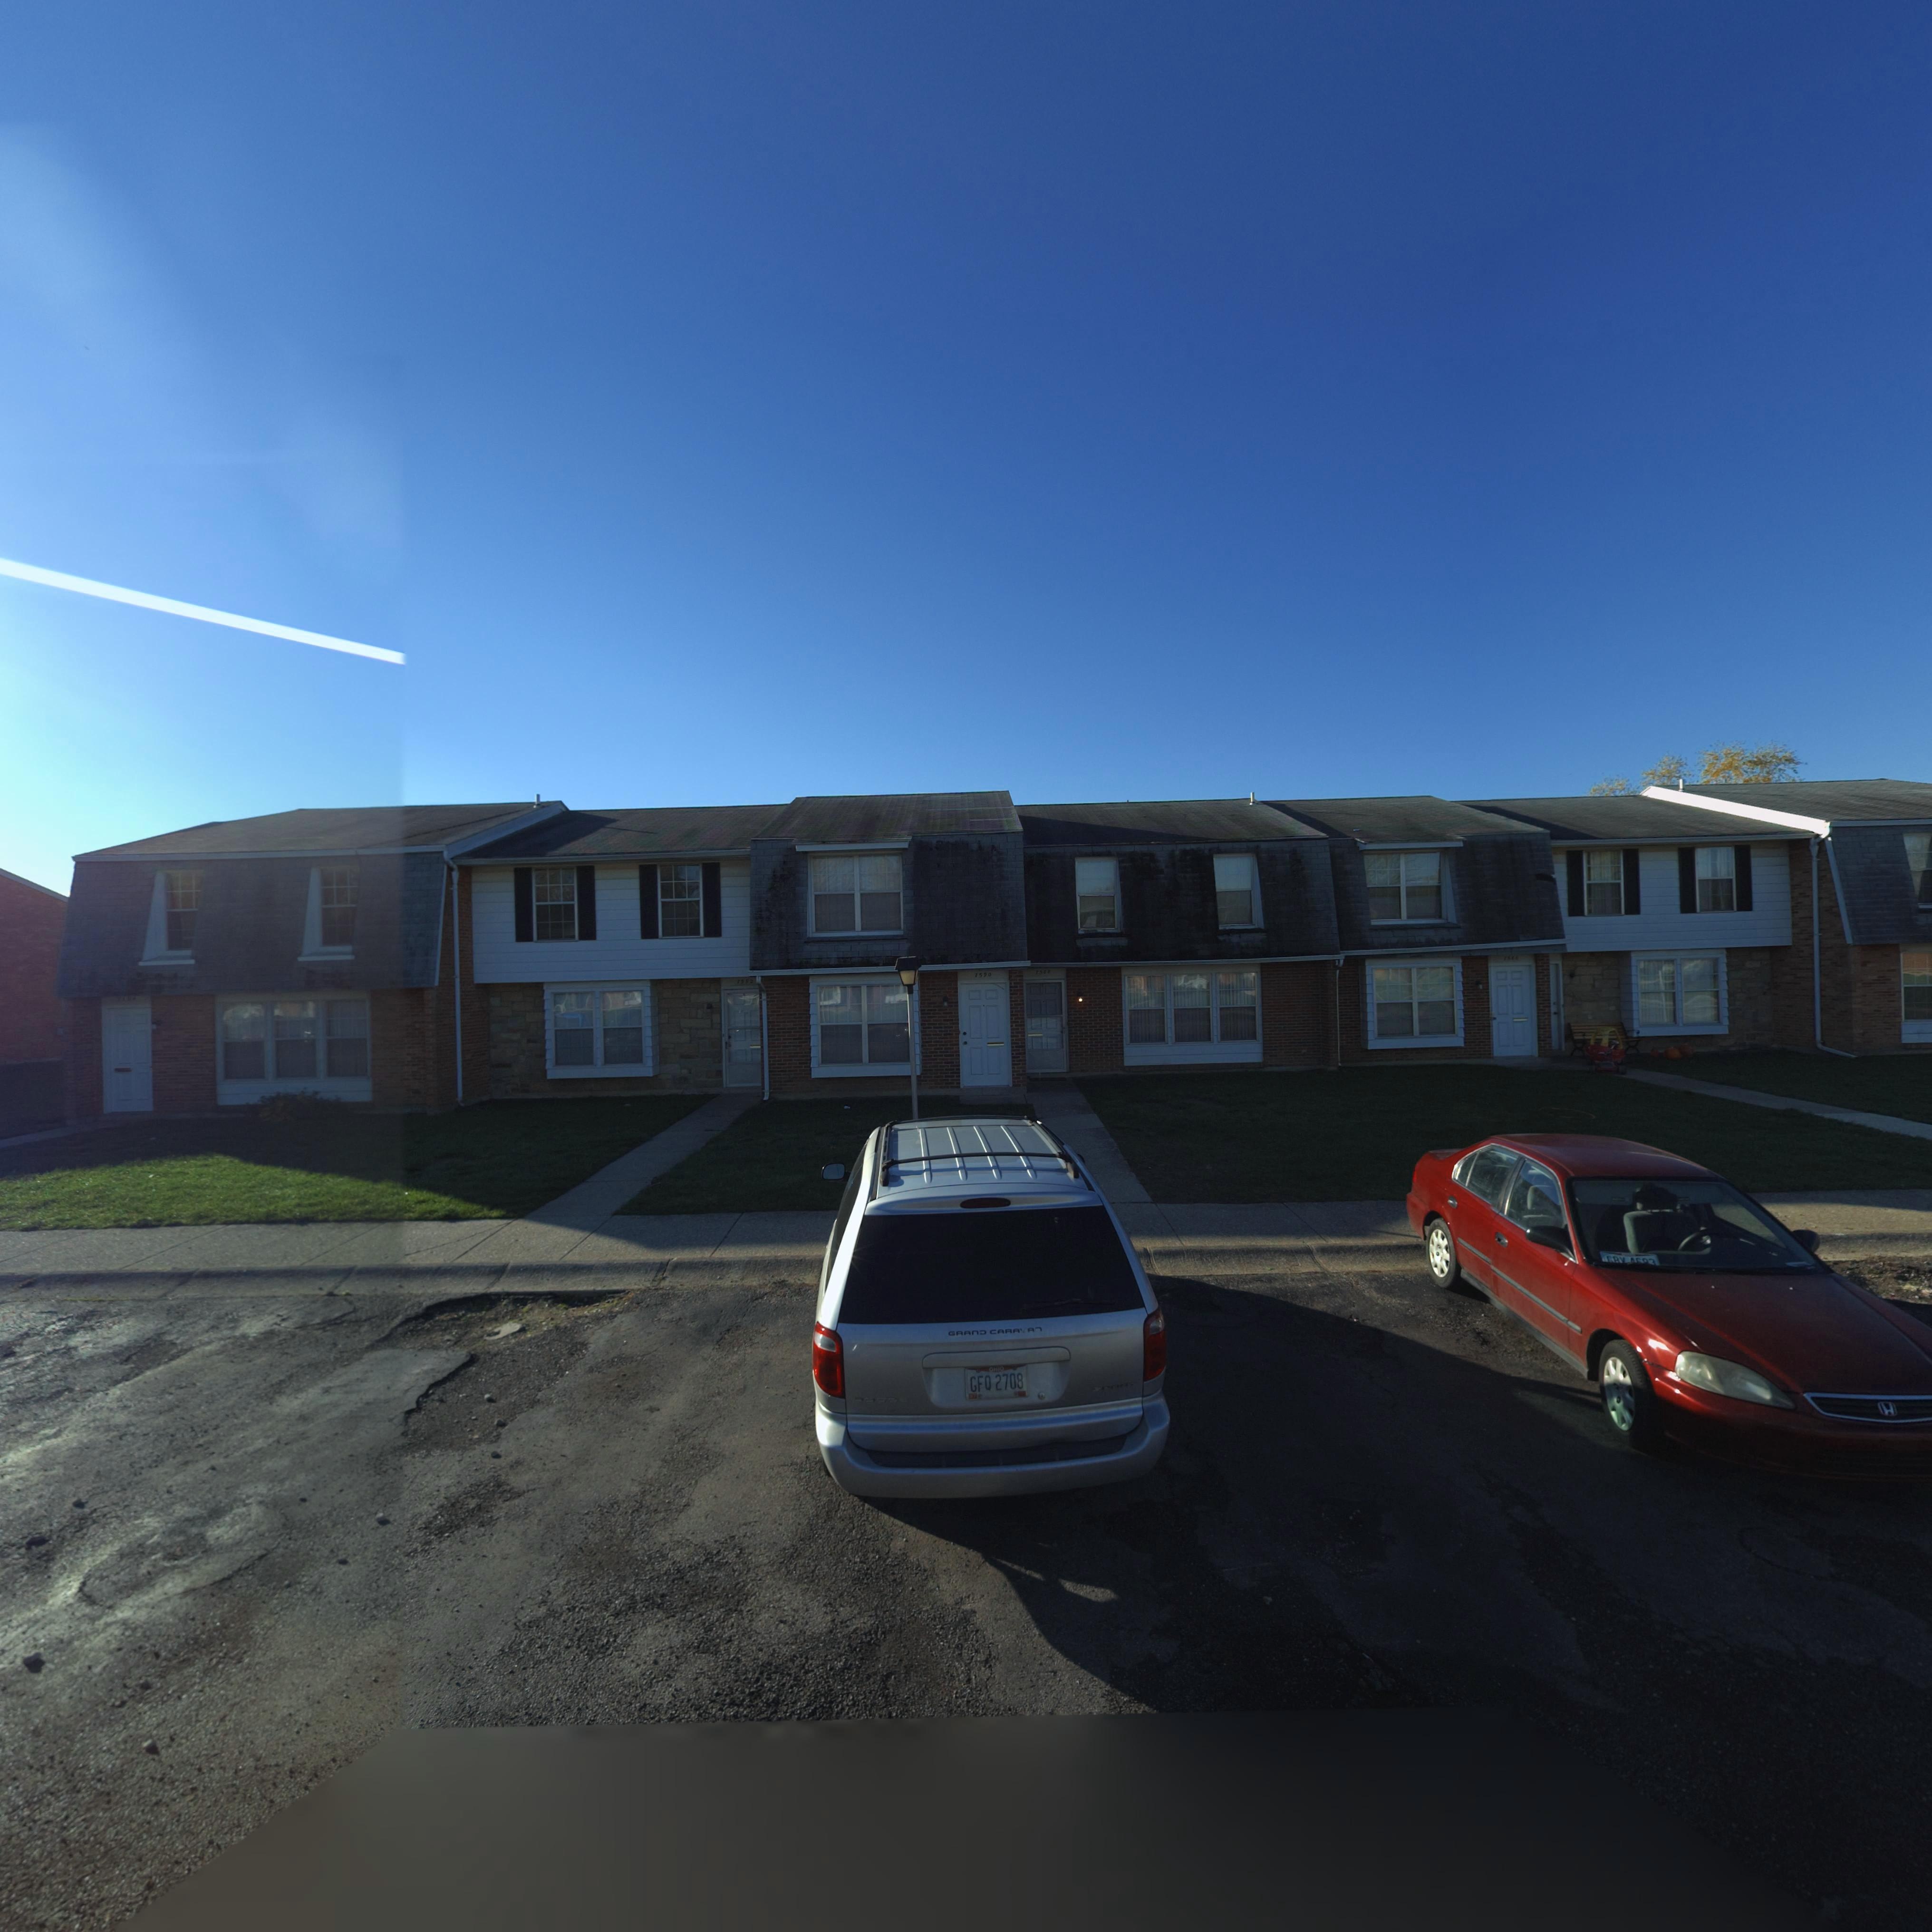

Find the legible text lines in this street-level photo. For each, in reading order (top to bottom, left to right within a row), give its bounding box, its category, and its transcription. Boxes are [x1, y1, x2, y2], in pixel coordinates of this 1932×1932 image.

[1502, 955, 1520, 962] StreetNumber: 7*86
[974, 972, 992, 978] StreetNumber: 7590
[1035, 969, 1051, 975] StreetNumber: 7588
[736, 978, 754, 984] StreetNumber: 7592
[116, 996, 138, 1003] StreetNumber: 7**4